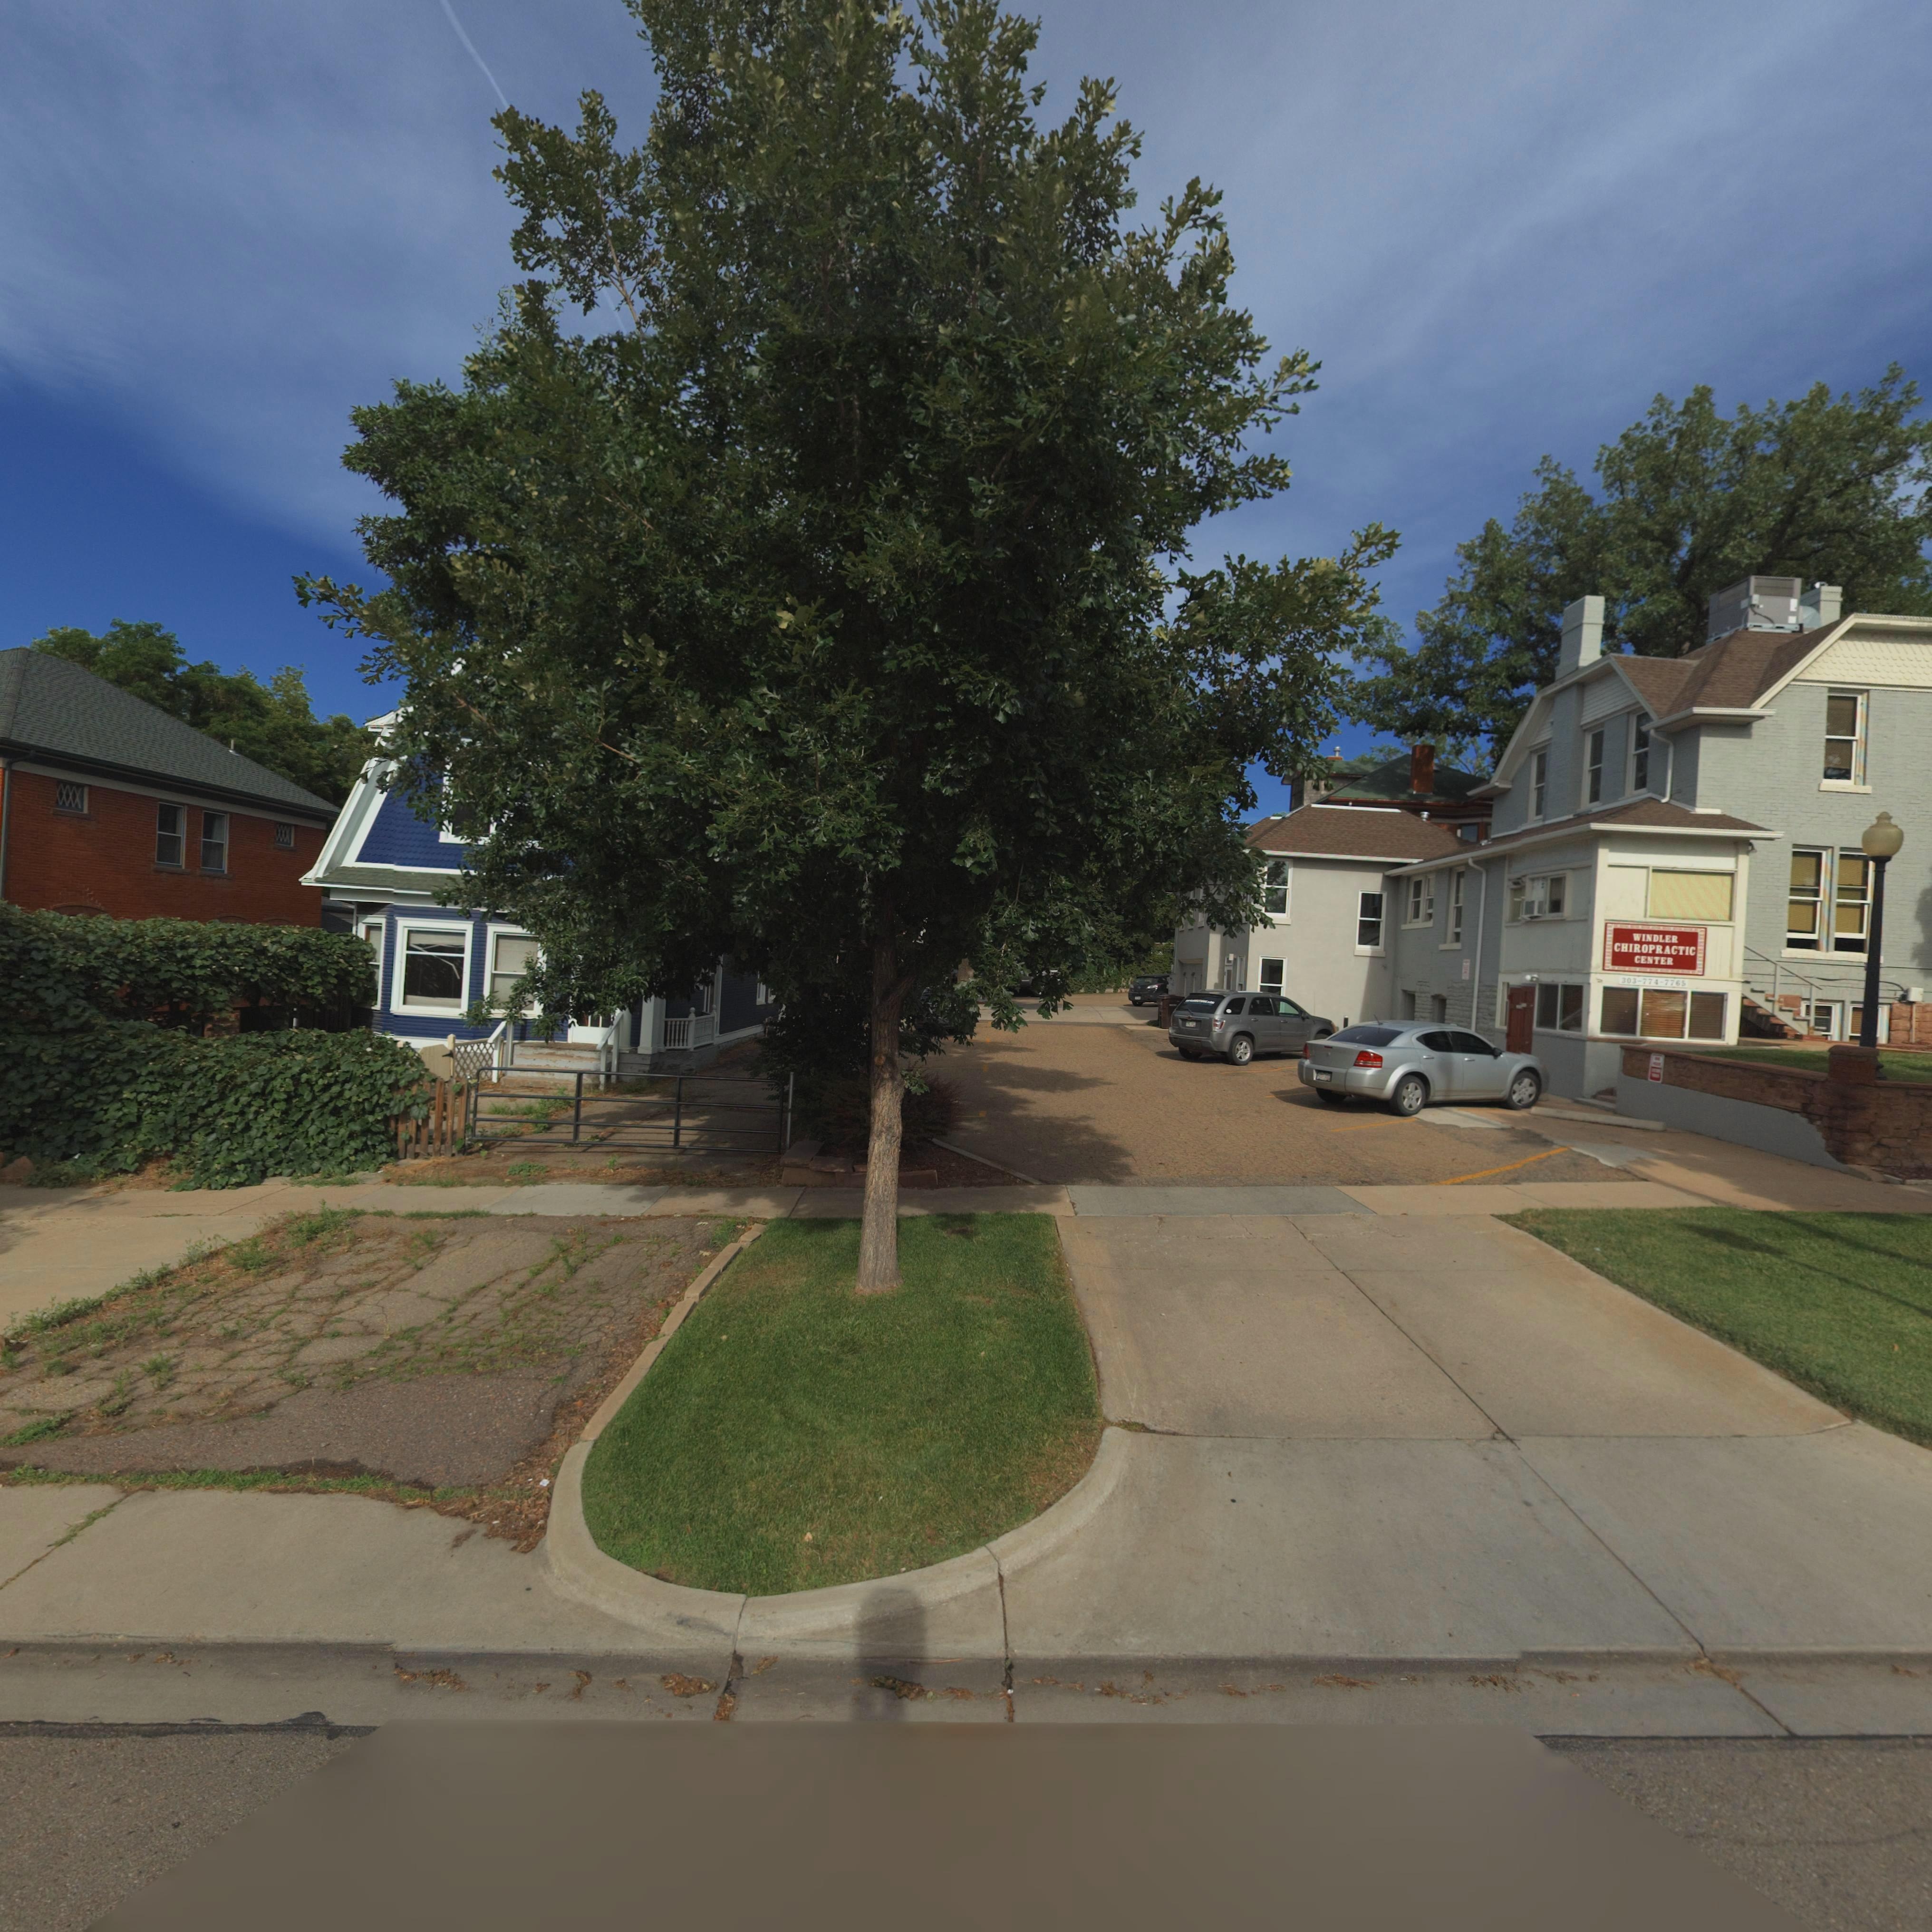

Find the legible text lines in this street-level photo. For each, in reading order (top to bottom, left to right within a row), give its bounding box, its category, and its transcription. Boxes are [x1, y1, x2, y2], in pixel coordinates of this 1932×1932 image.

[1633, 933, 1678, 943] BusinessName: WINDLER
[1614, 943, 1695, 955] BusinessName: CHIROPRACTIC
[1634, 955, 1673, 965] BusinessName: CENTER